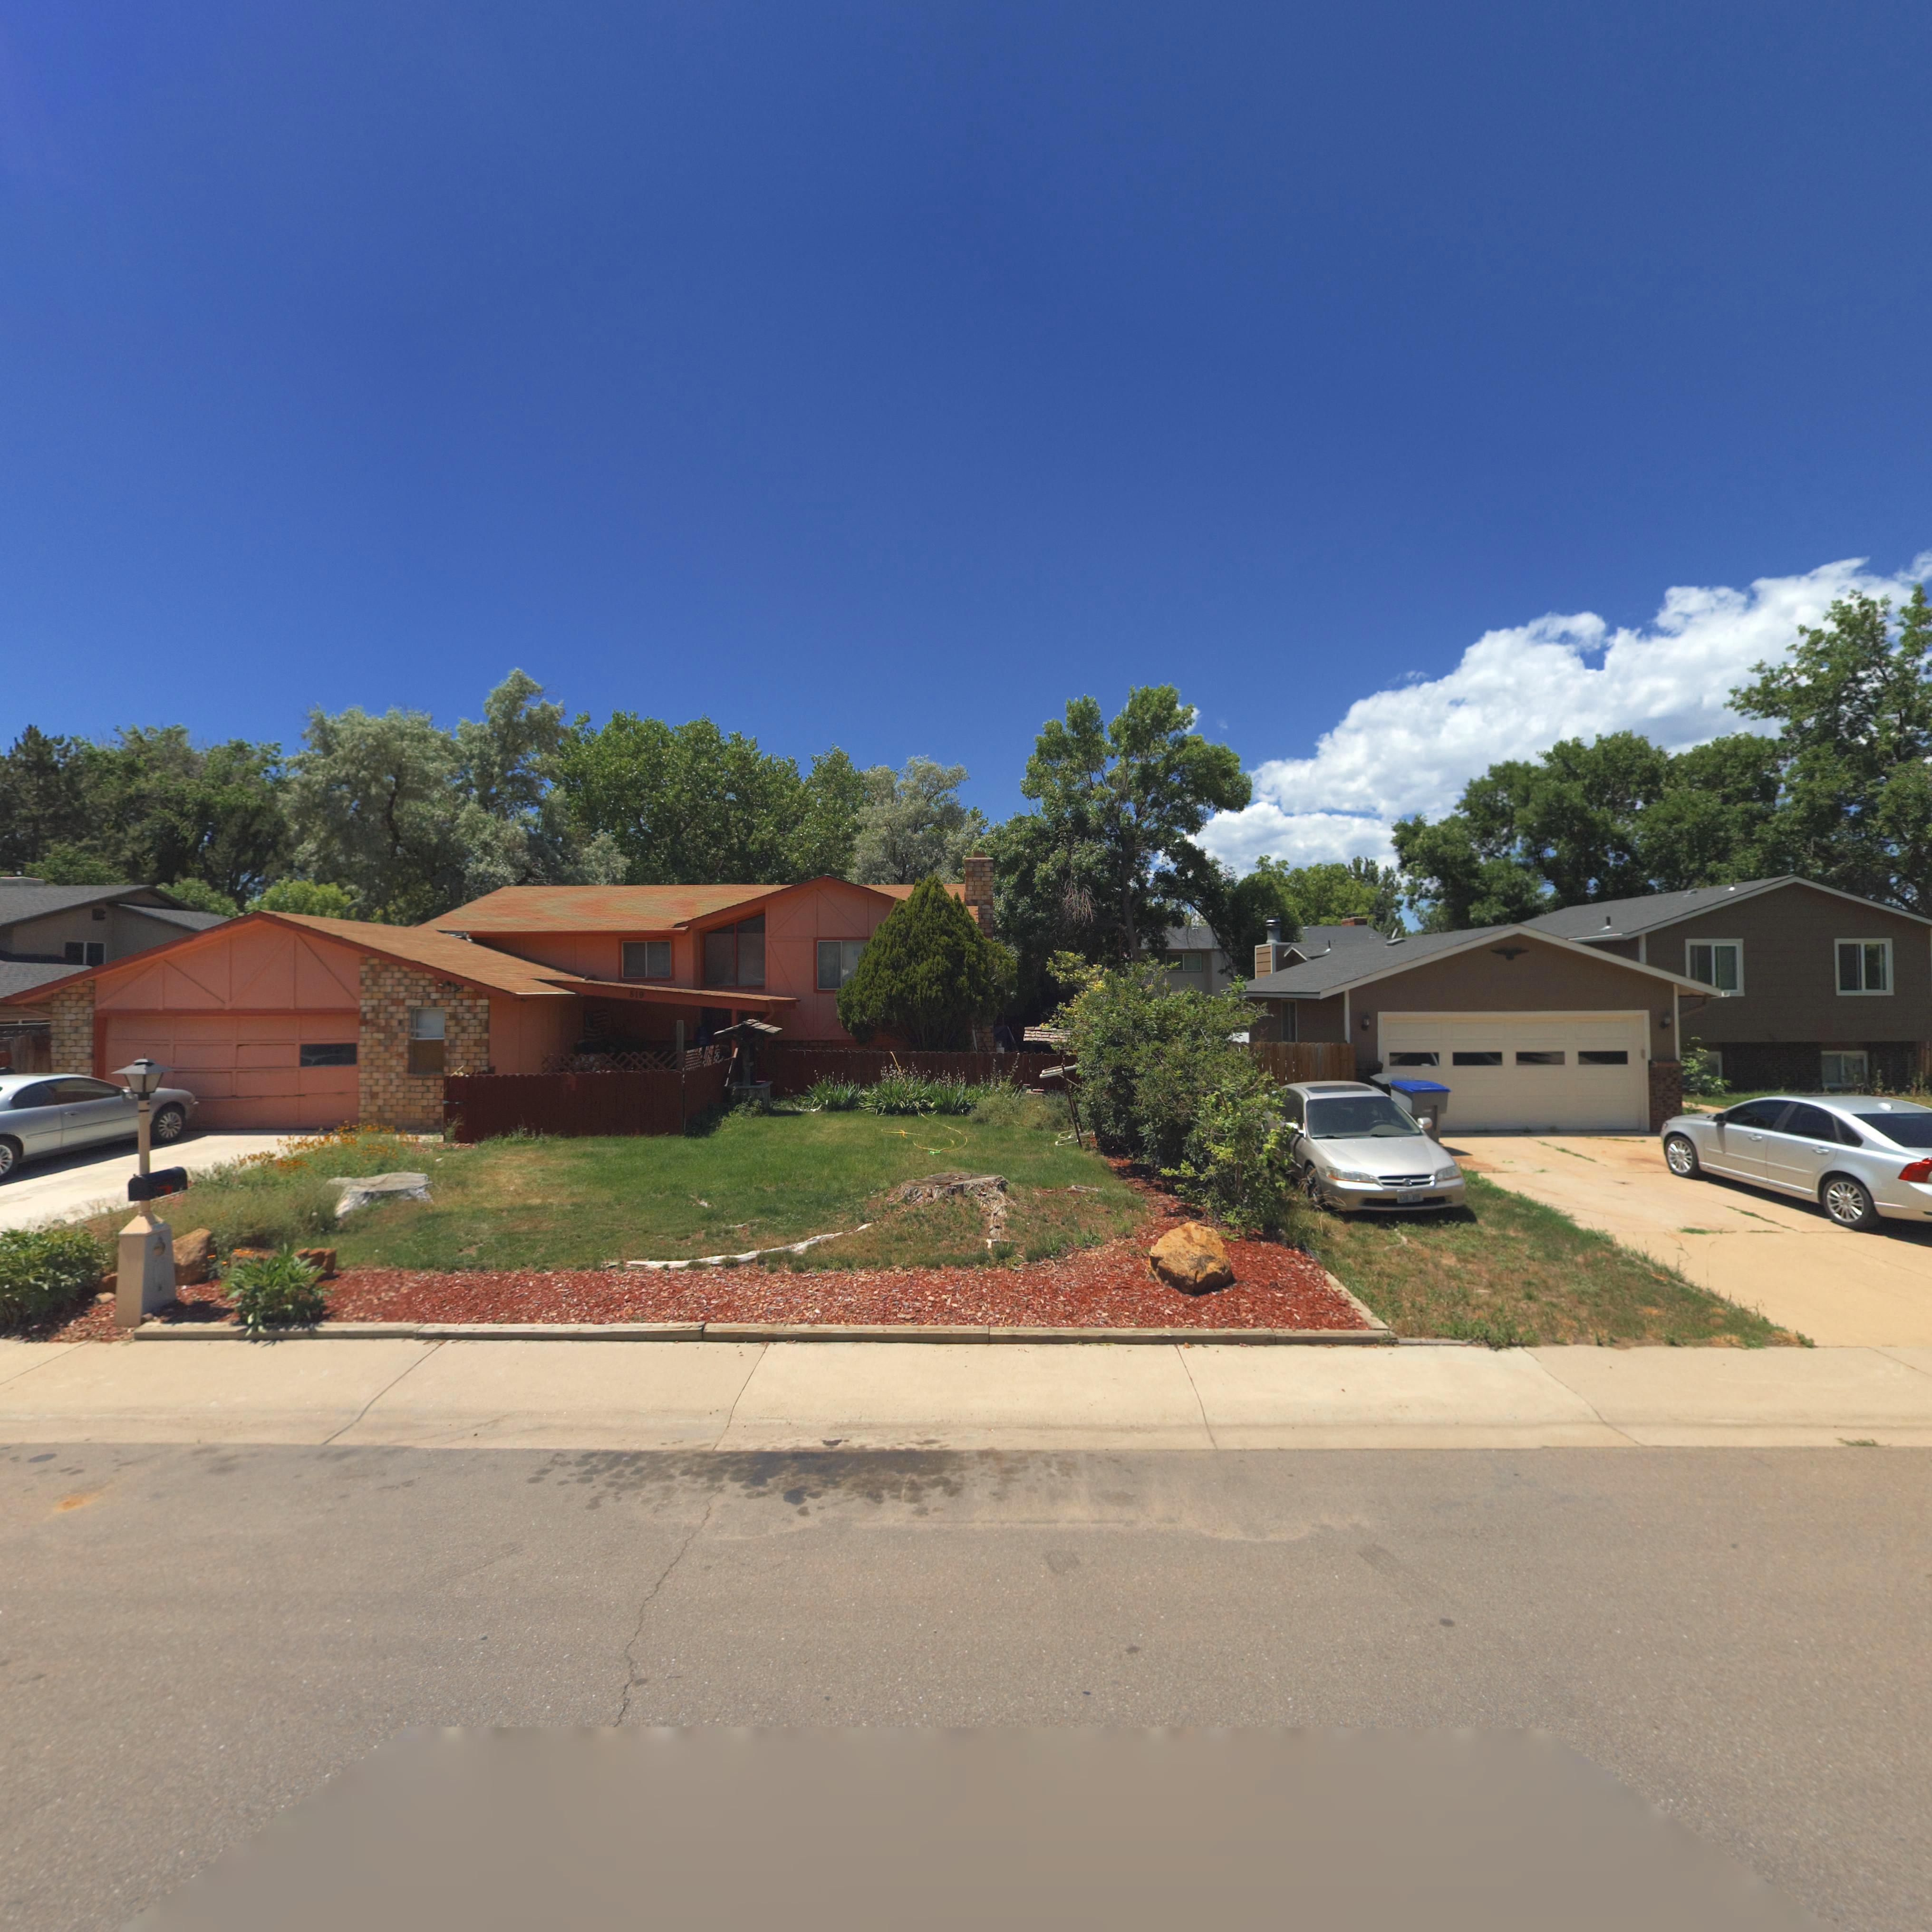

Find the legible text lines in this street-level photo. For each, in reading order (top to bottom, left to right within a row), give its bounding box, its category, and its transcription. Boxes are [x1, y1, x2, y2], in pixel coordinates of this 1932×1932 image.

[629, 990, 644, 999] StreetNumber: 819